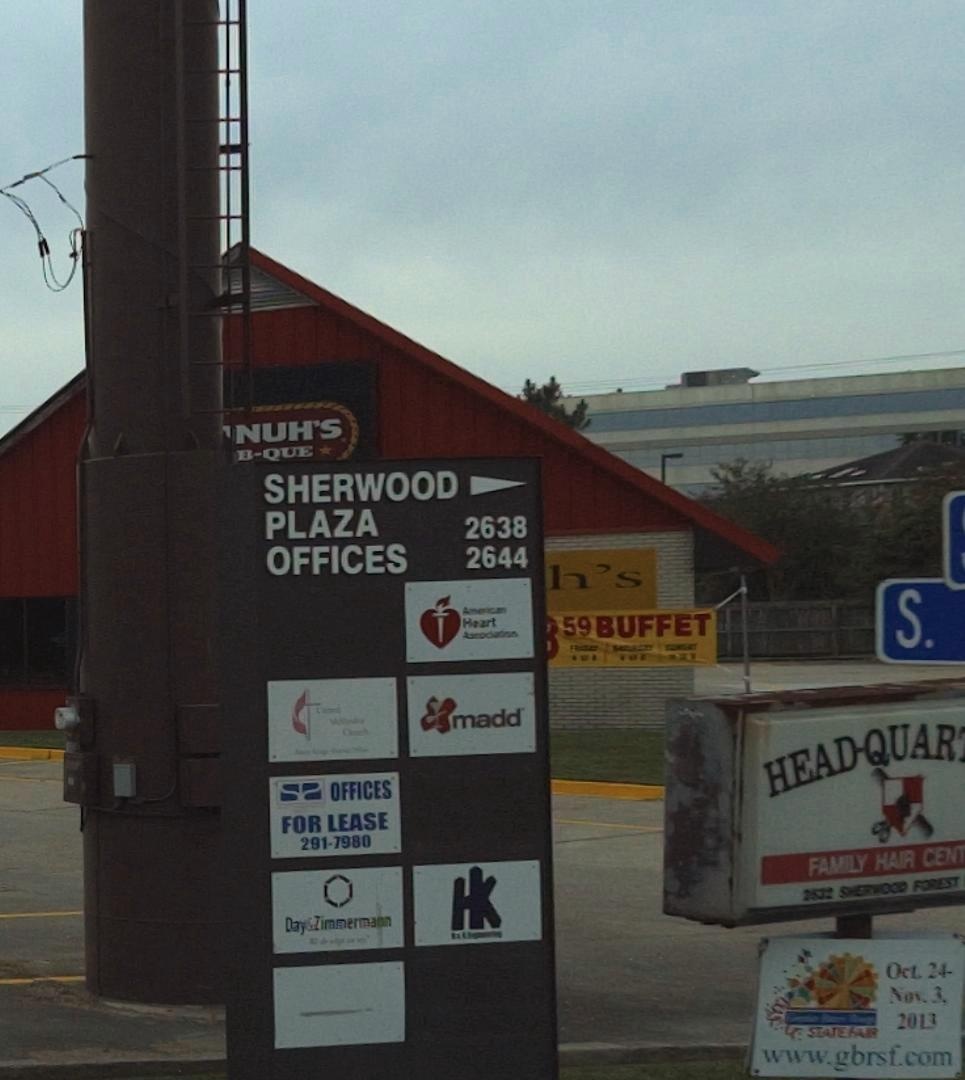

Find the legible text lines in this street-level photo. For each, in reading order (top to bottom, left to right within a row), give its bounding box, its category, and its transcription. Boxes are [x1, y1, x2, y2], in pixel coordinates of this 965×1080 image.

[234, 418, 346, 445] BusinessName: NUH'S
[236, 444, 315, 463] None: B-QUE
[263, 469, 461, 505] None: SHERWOOD
[264, 508, 382, 540] None: PLAZA
[464, 514, 528, 541] StreetNumber: 2638
[266, 542, 410, 576] None: OFFICES
[465, 545, 530, 569] None: 2644
[546, 562, 642, 591] None: h's
[462, 616, 498, 629] None: Heart\
[462, 605, 508, 616] None: American
[462, 630, 520, 642] None: Association
[562, 613, 711, 640] None: 59BUFFET
[893, 587, 937, 650] None: S.
[453, 706, 521, 730] None: madd
[761, 721, 965, 799] BusinessName: HEAD-QUAR
[331, 779, 392, 802] None: OFFICES
[281, 811, 390, 835] None: FOR LEASE
[300, 833, 372, 850] None: 291-7980
[807, 845, 965, 878] None: FAMILY HAIR CEN
[800, 875, 962, 903] None: 2532 SHERWOOD FOREST
[284, 914, 392, 937] None: DaysZimmermann
[884, 960, 954, 979] None: Oct. 24-
[887, 985, 947, 1003] None: Nov.3
[807, 1026, 880, 1039] None: STATEFAIR
[896, 1011, 941, 1031] None: 2013
[761, 1041, 956, 1073] None: ww.gbrsf.com